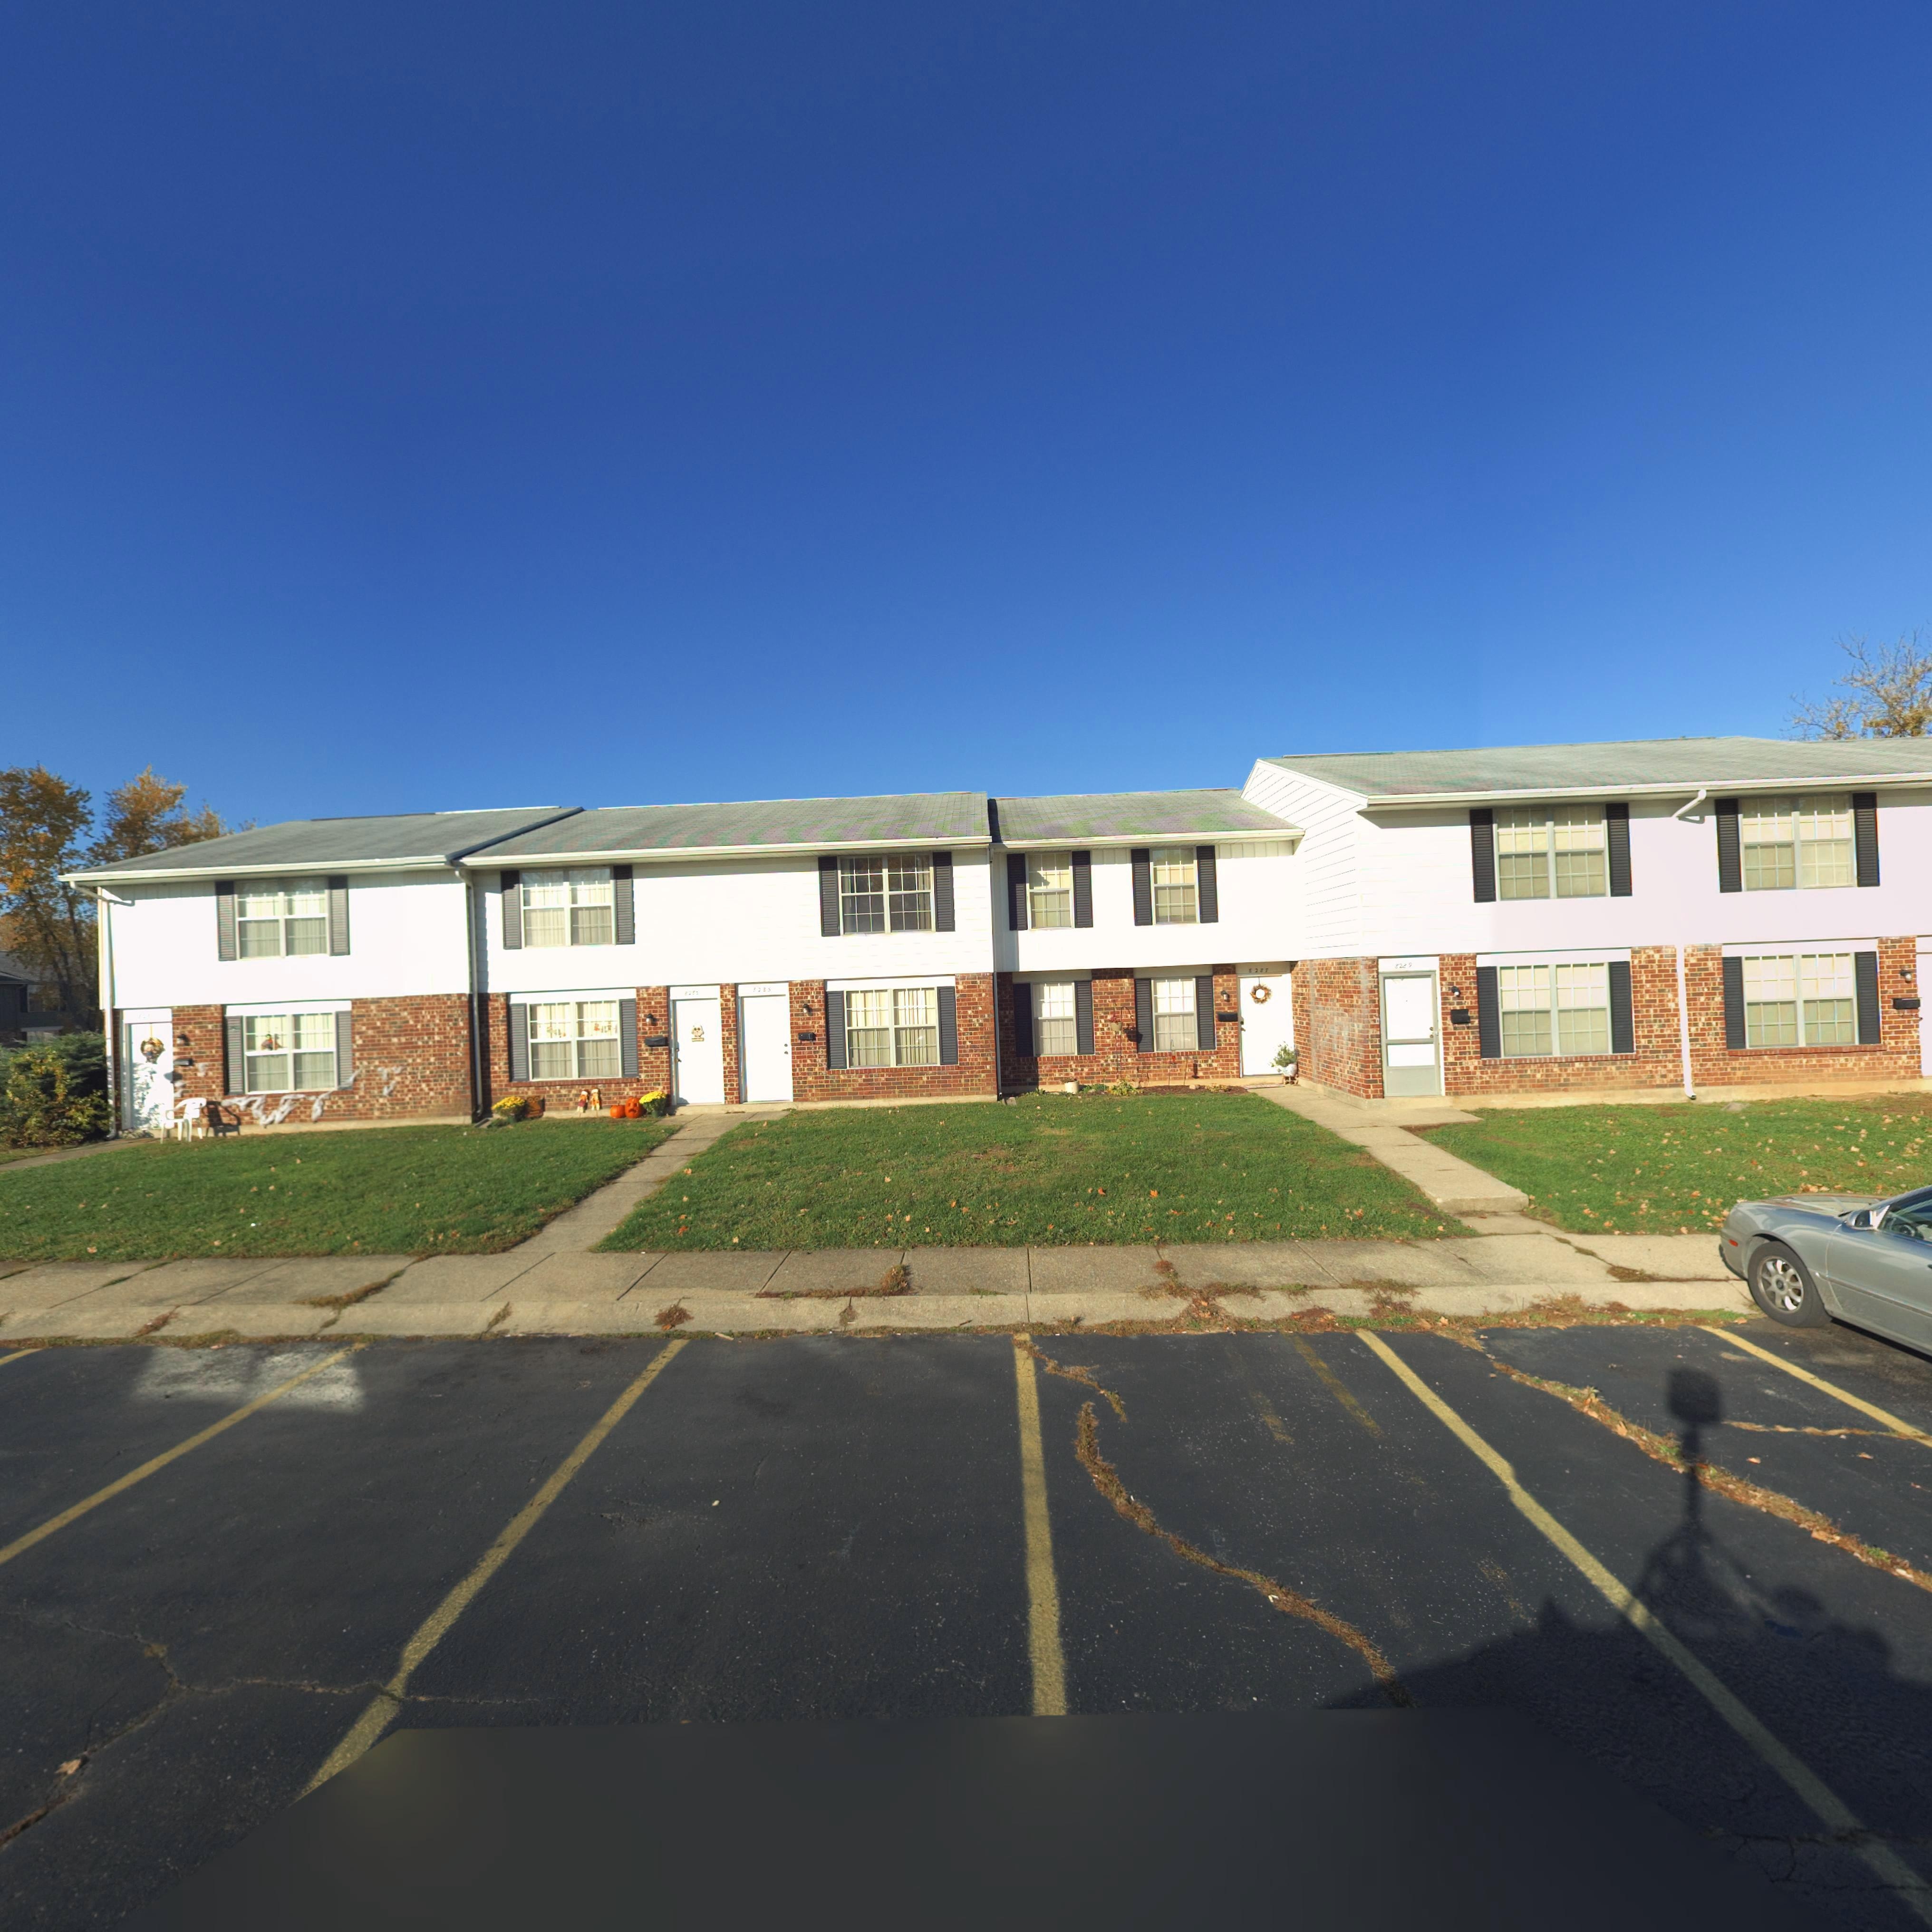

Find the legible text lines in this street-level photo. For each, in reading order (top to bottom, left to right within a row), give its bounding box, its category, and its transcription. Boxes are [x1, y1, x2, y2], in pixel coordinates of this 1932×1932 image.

[1393, 962, 1413, 969] StreetNumber: 8289
[1248, 967, 1269, 973] StreetNumber: 8287
[752, 986, 771, 993] StreetNumber: 8385
[684, 990, 699, 996] StreetNumber: 8283